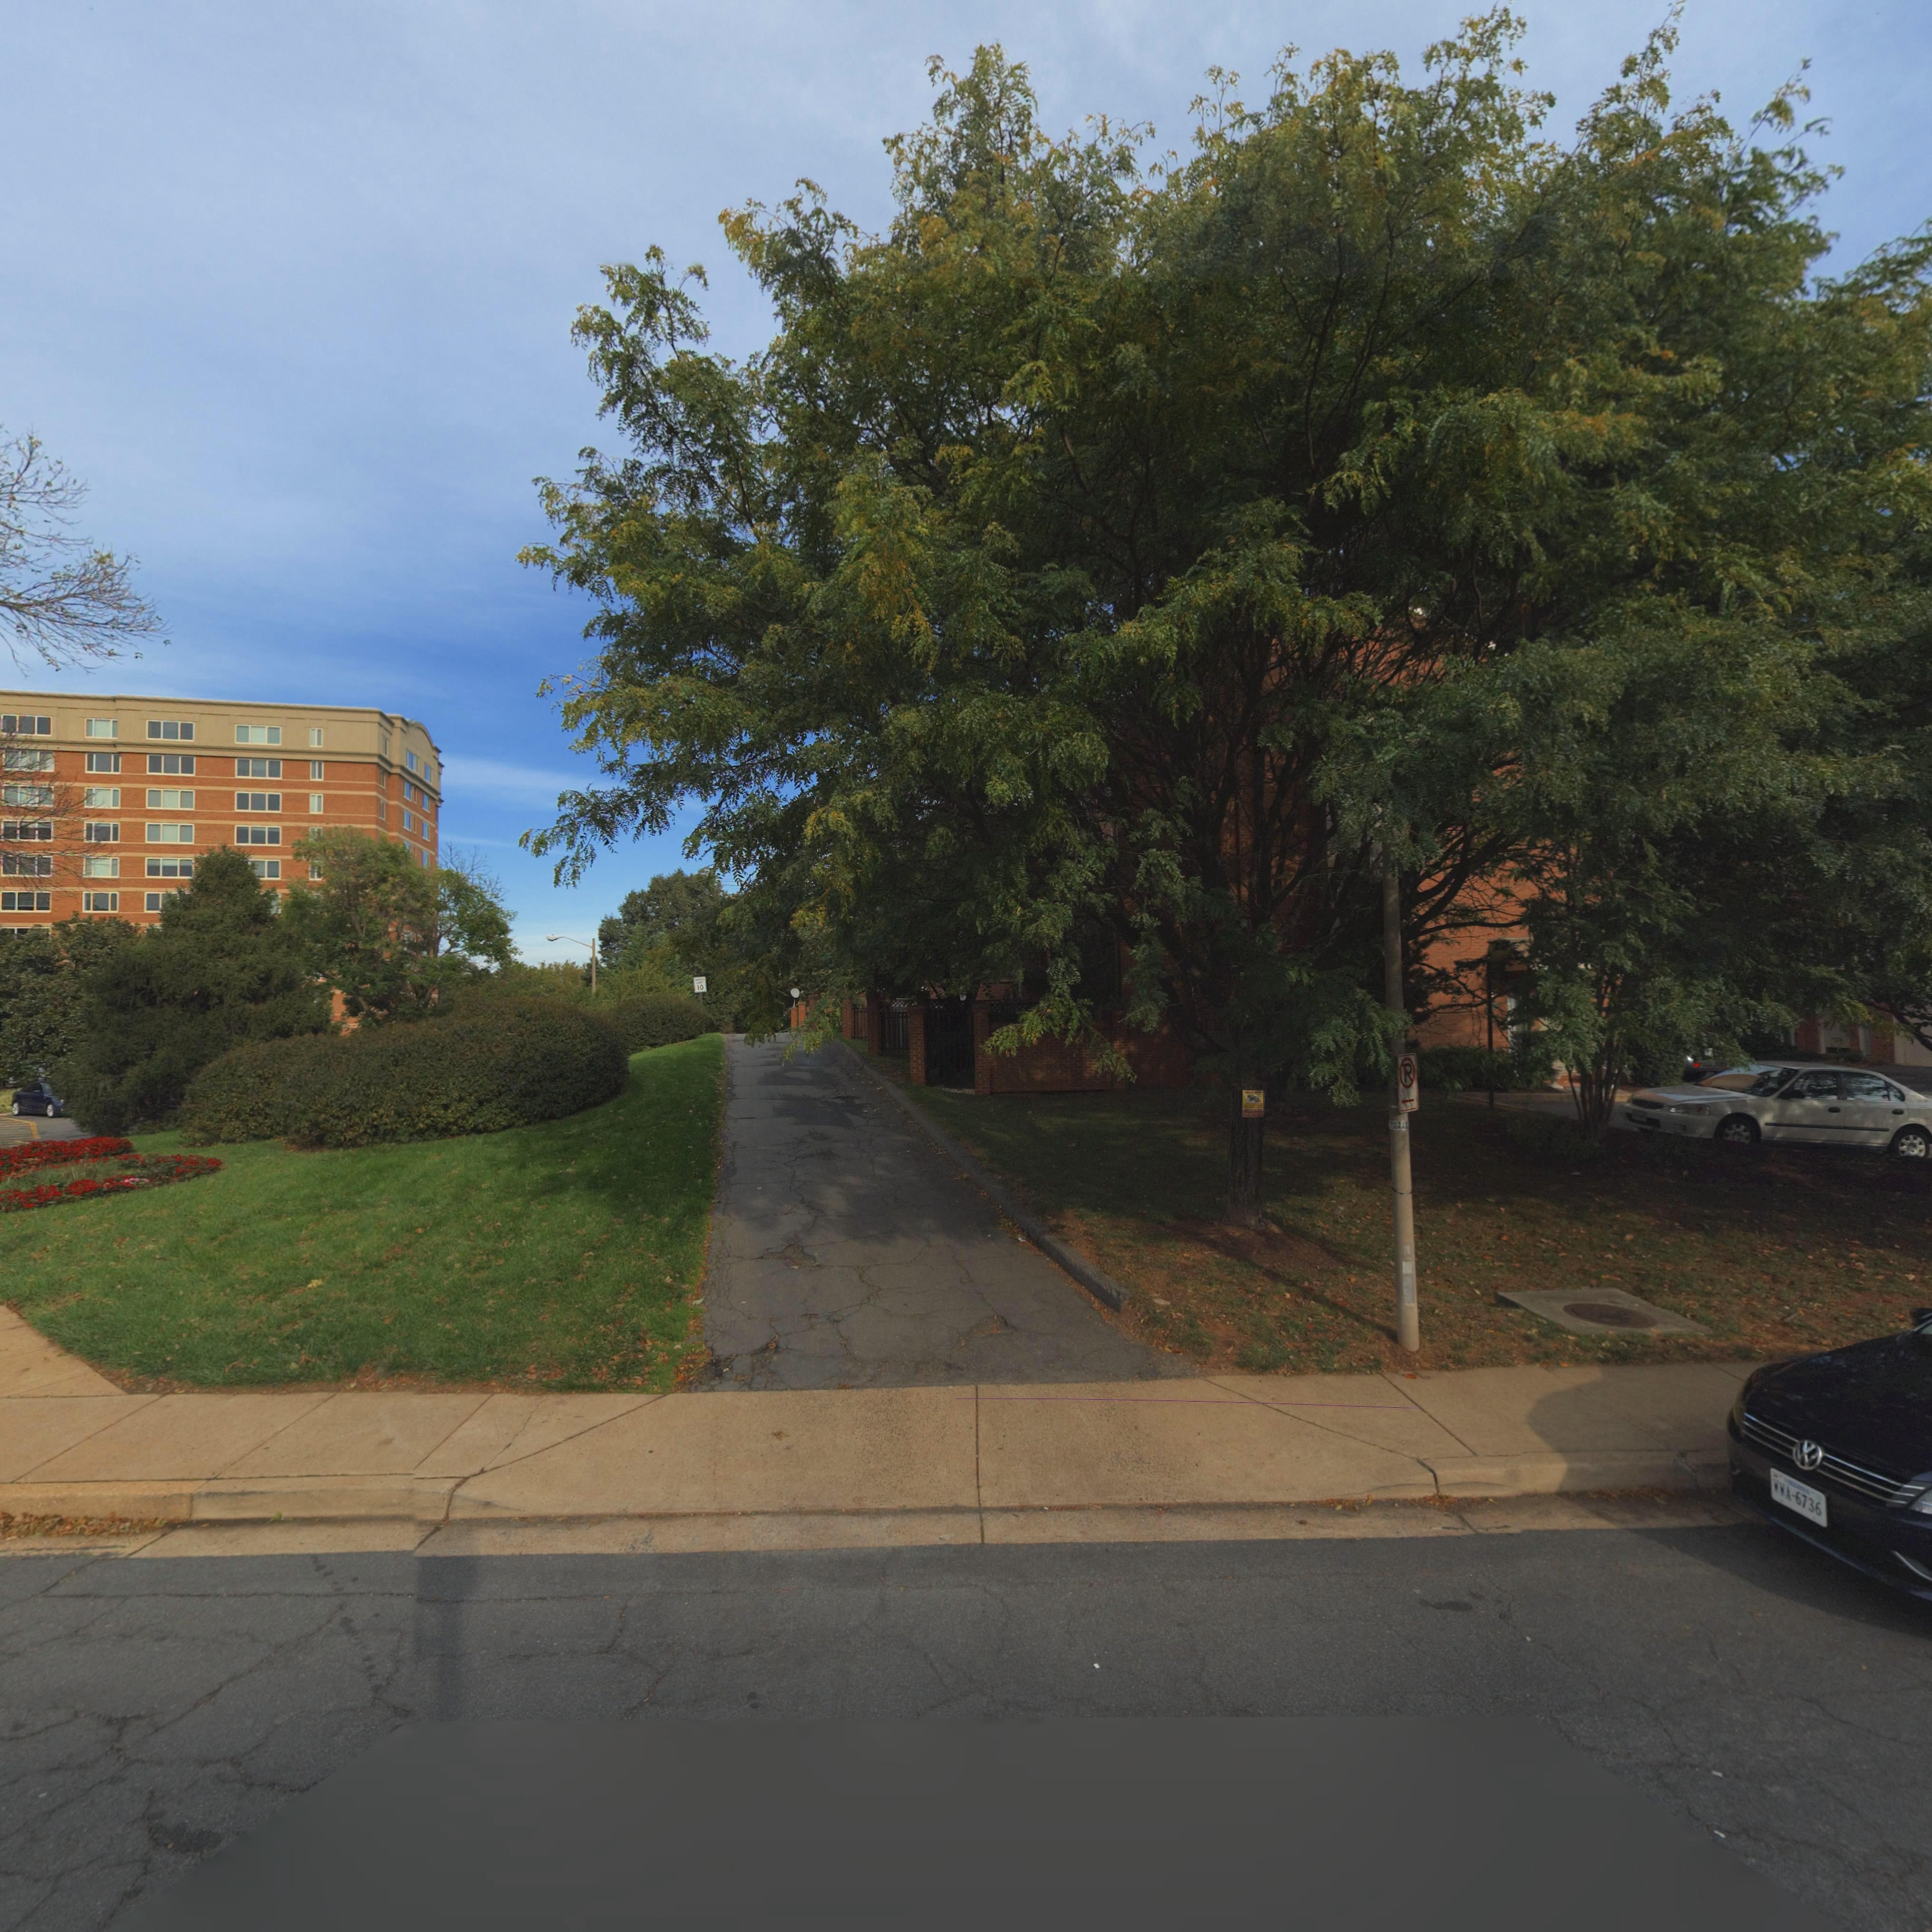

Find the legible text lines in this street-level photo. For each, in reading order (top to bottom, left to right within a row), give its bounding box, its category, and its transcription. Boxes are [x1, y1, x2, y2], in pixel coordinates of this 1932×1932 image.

[1772, 1478, 1822, 1517] None: WWA-6736